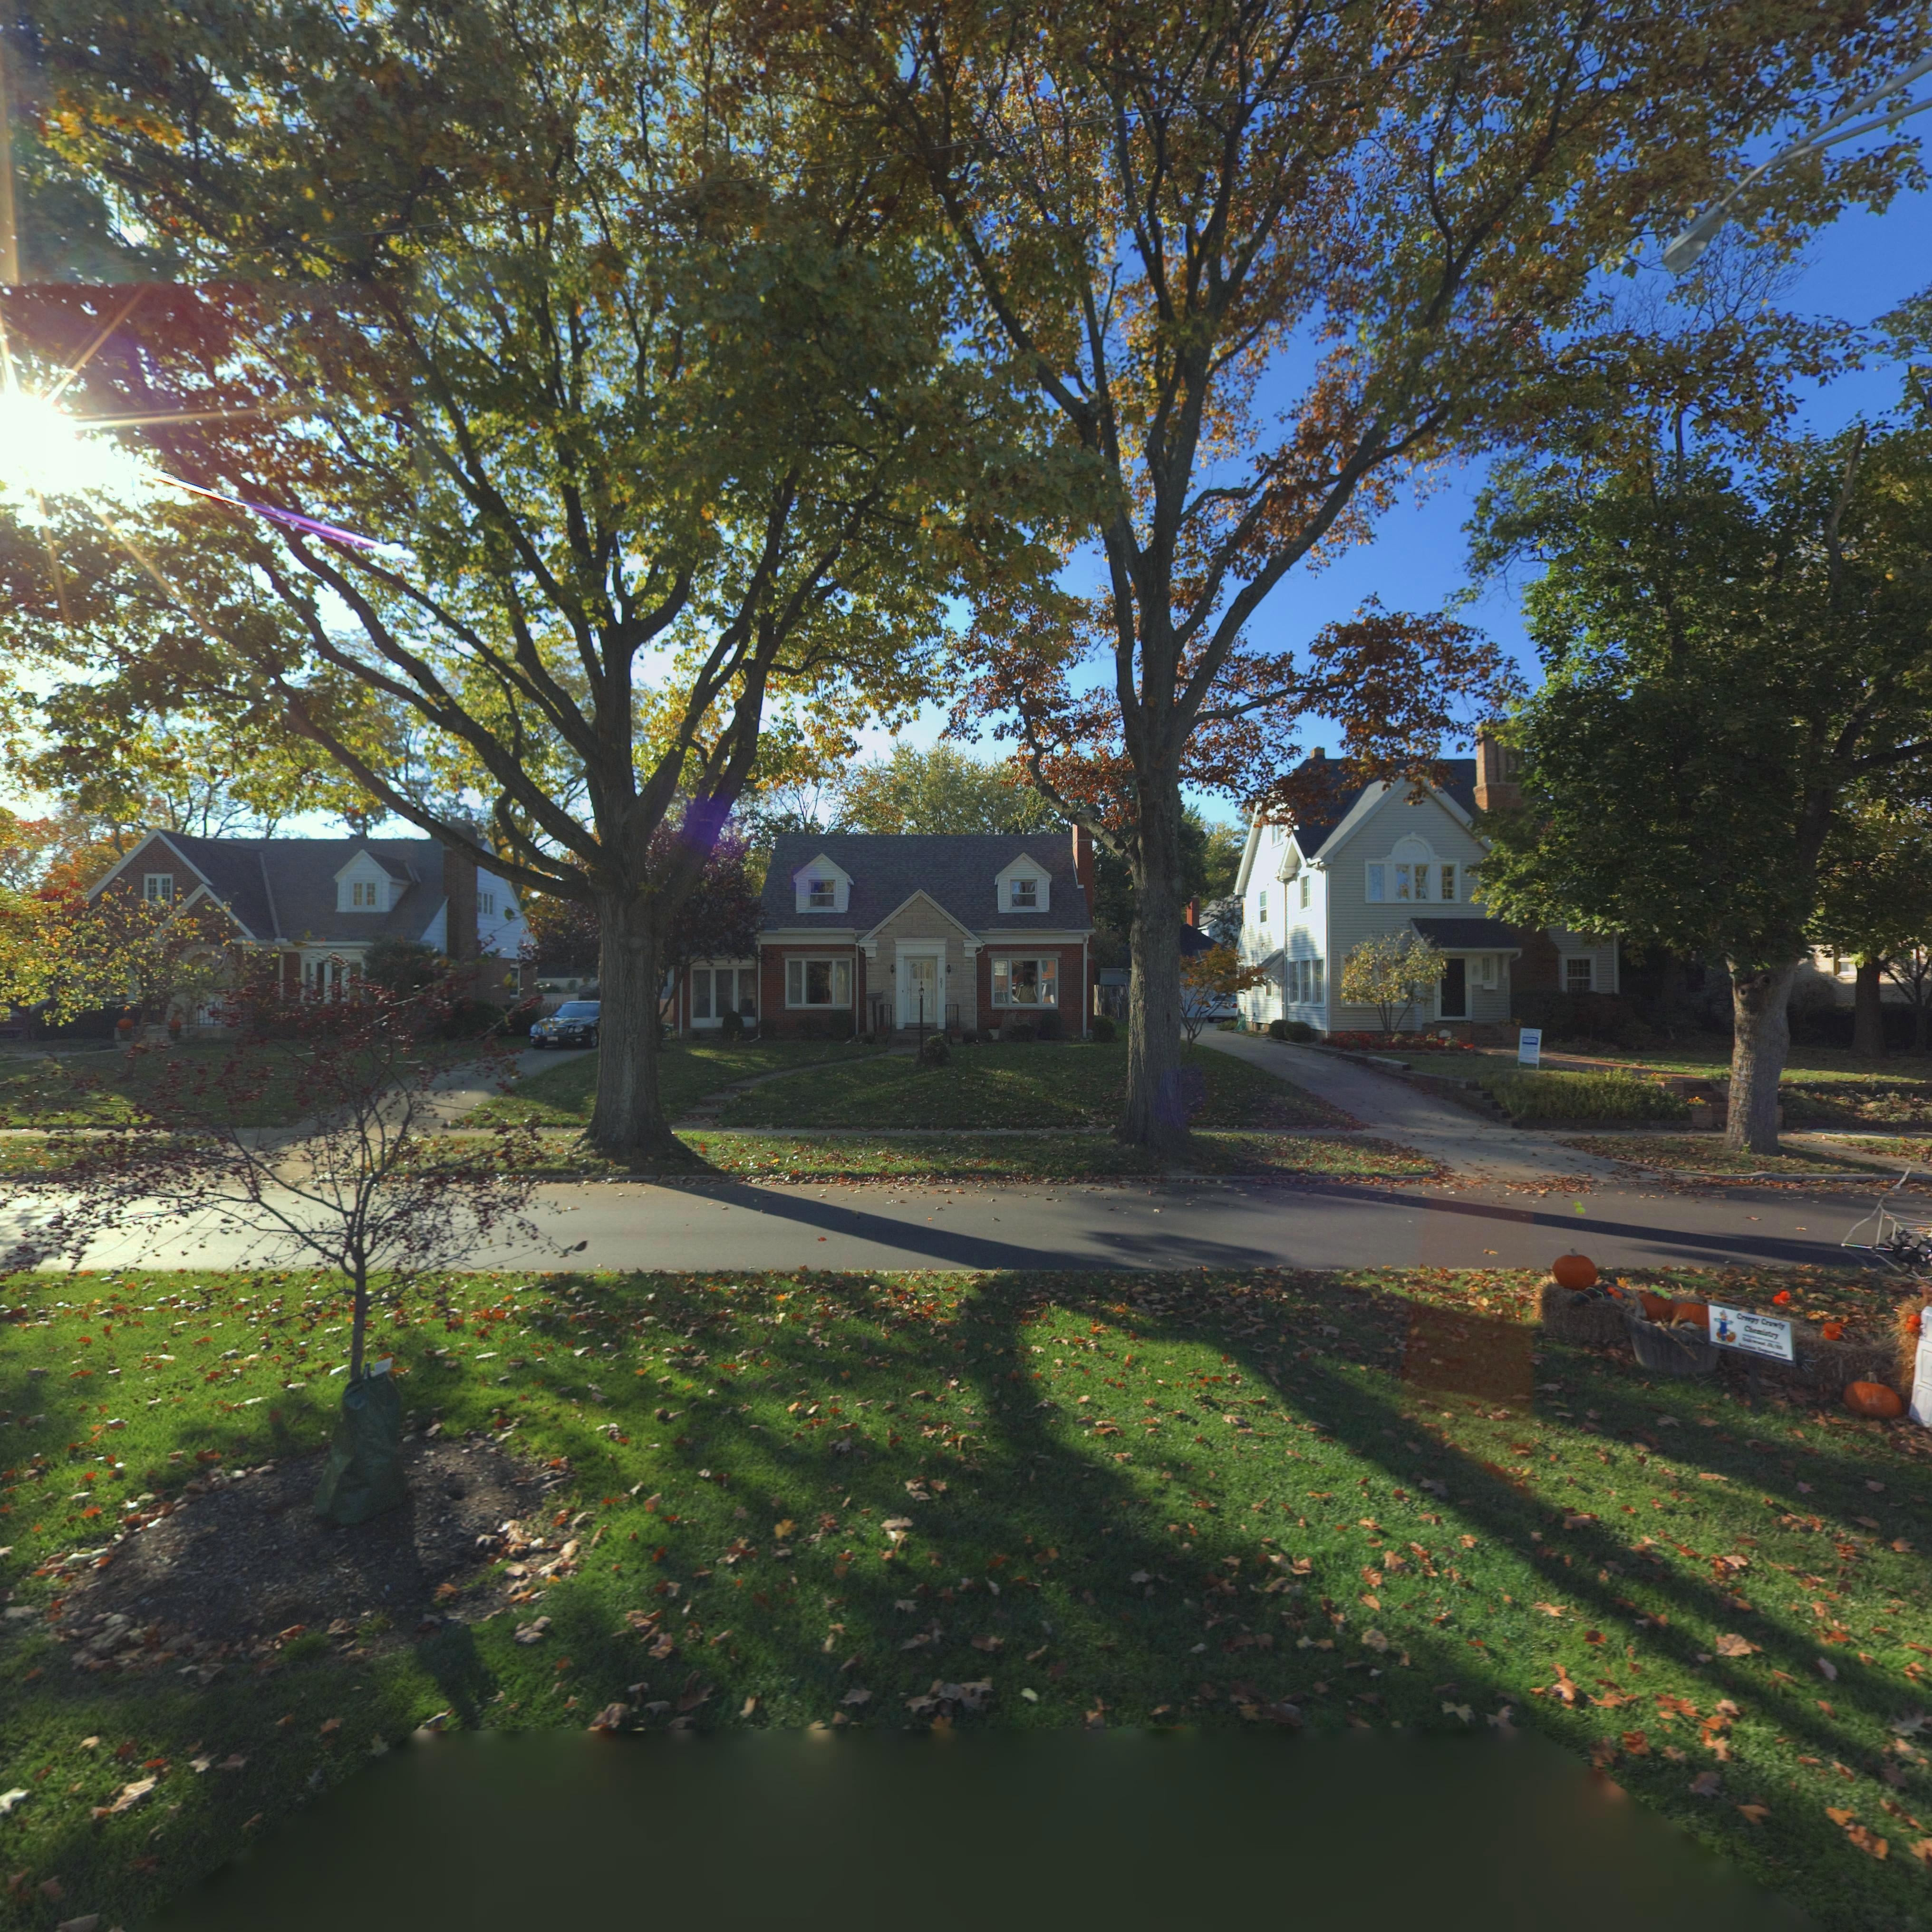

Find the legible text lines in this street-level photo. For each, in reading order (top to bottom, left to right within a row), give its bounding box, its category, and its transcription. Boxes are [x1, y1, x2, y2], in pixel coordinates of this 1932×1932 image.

[939, 977, 943, 989] StreetNumber: 5**